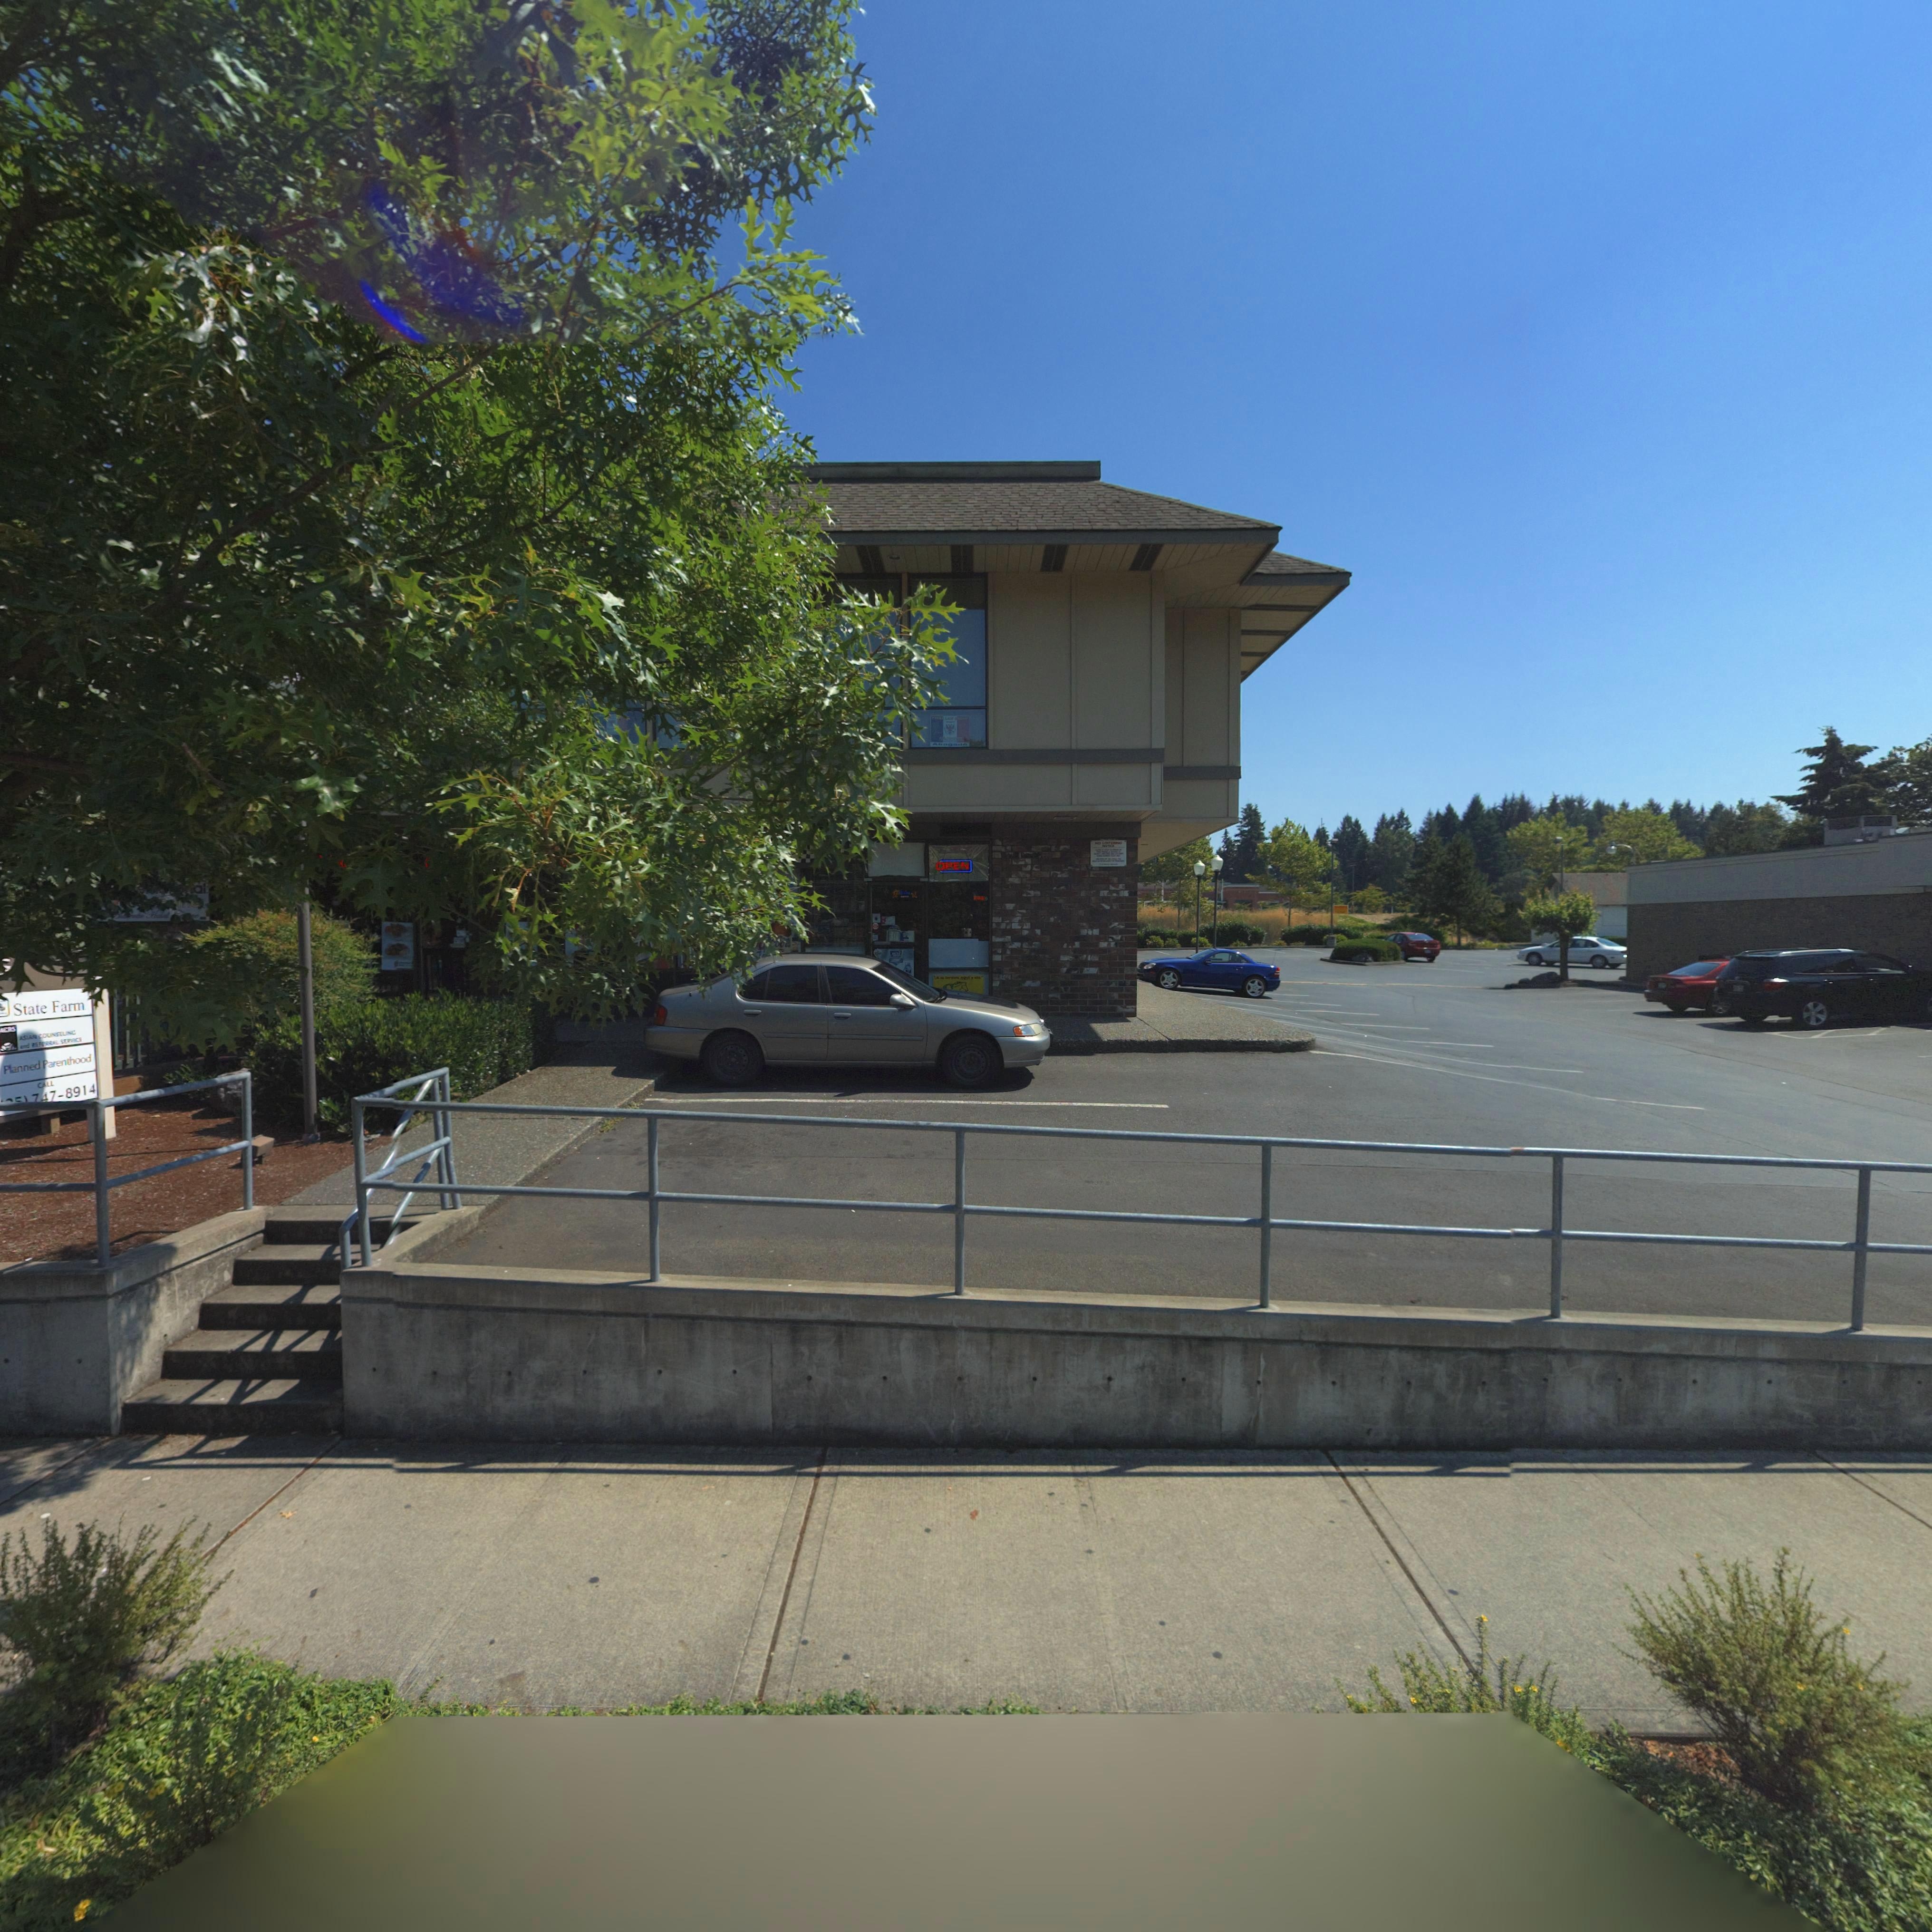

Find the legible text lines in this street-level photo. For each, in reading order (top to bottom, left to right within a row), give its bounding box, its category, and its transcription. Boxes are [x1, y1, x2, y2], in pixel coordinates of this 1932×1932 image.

[13, 999, 86, 1016] BusinessName: State Farm
[3, 1053, 92, 1075] BusinessName: Planned Parenthood